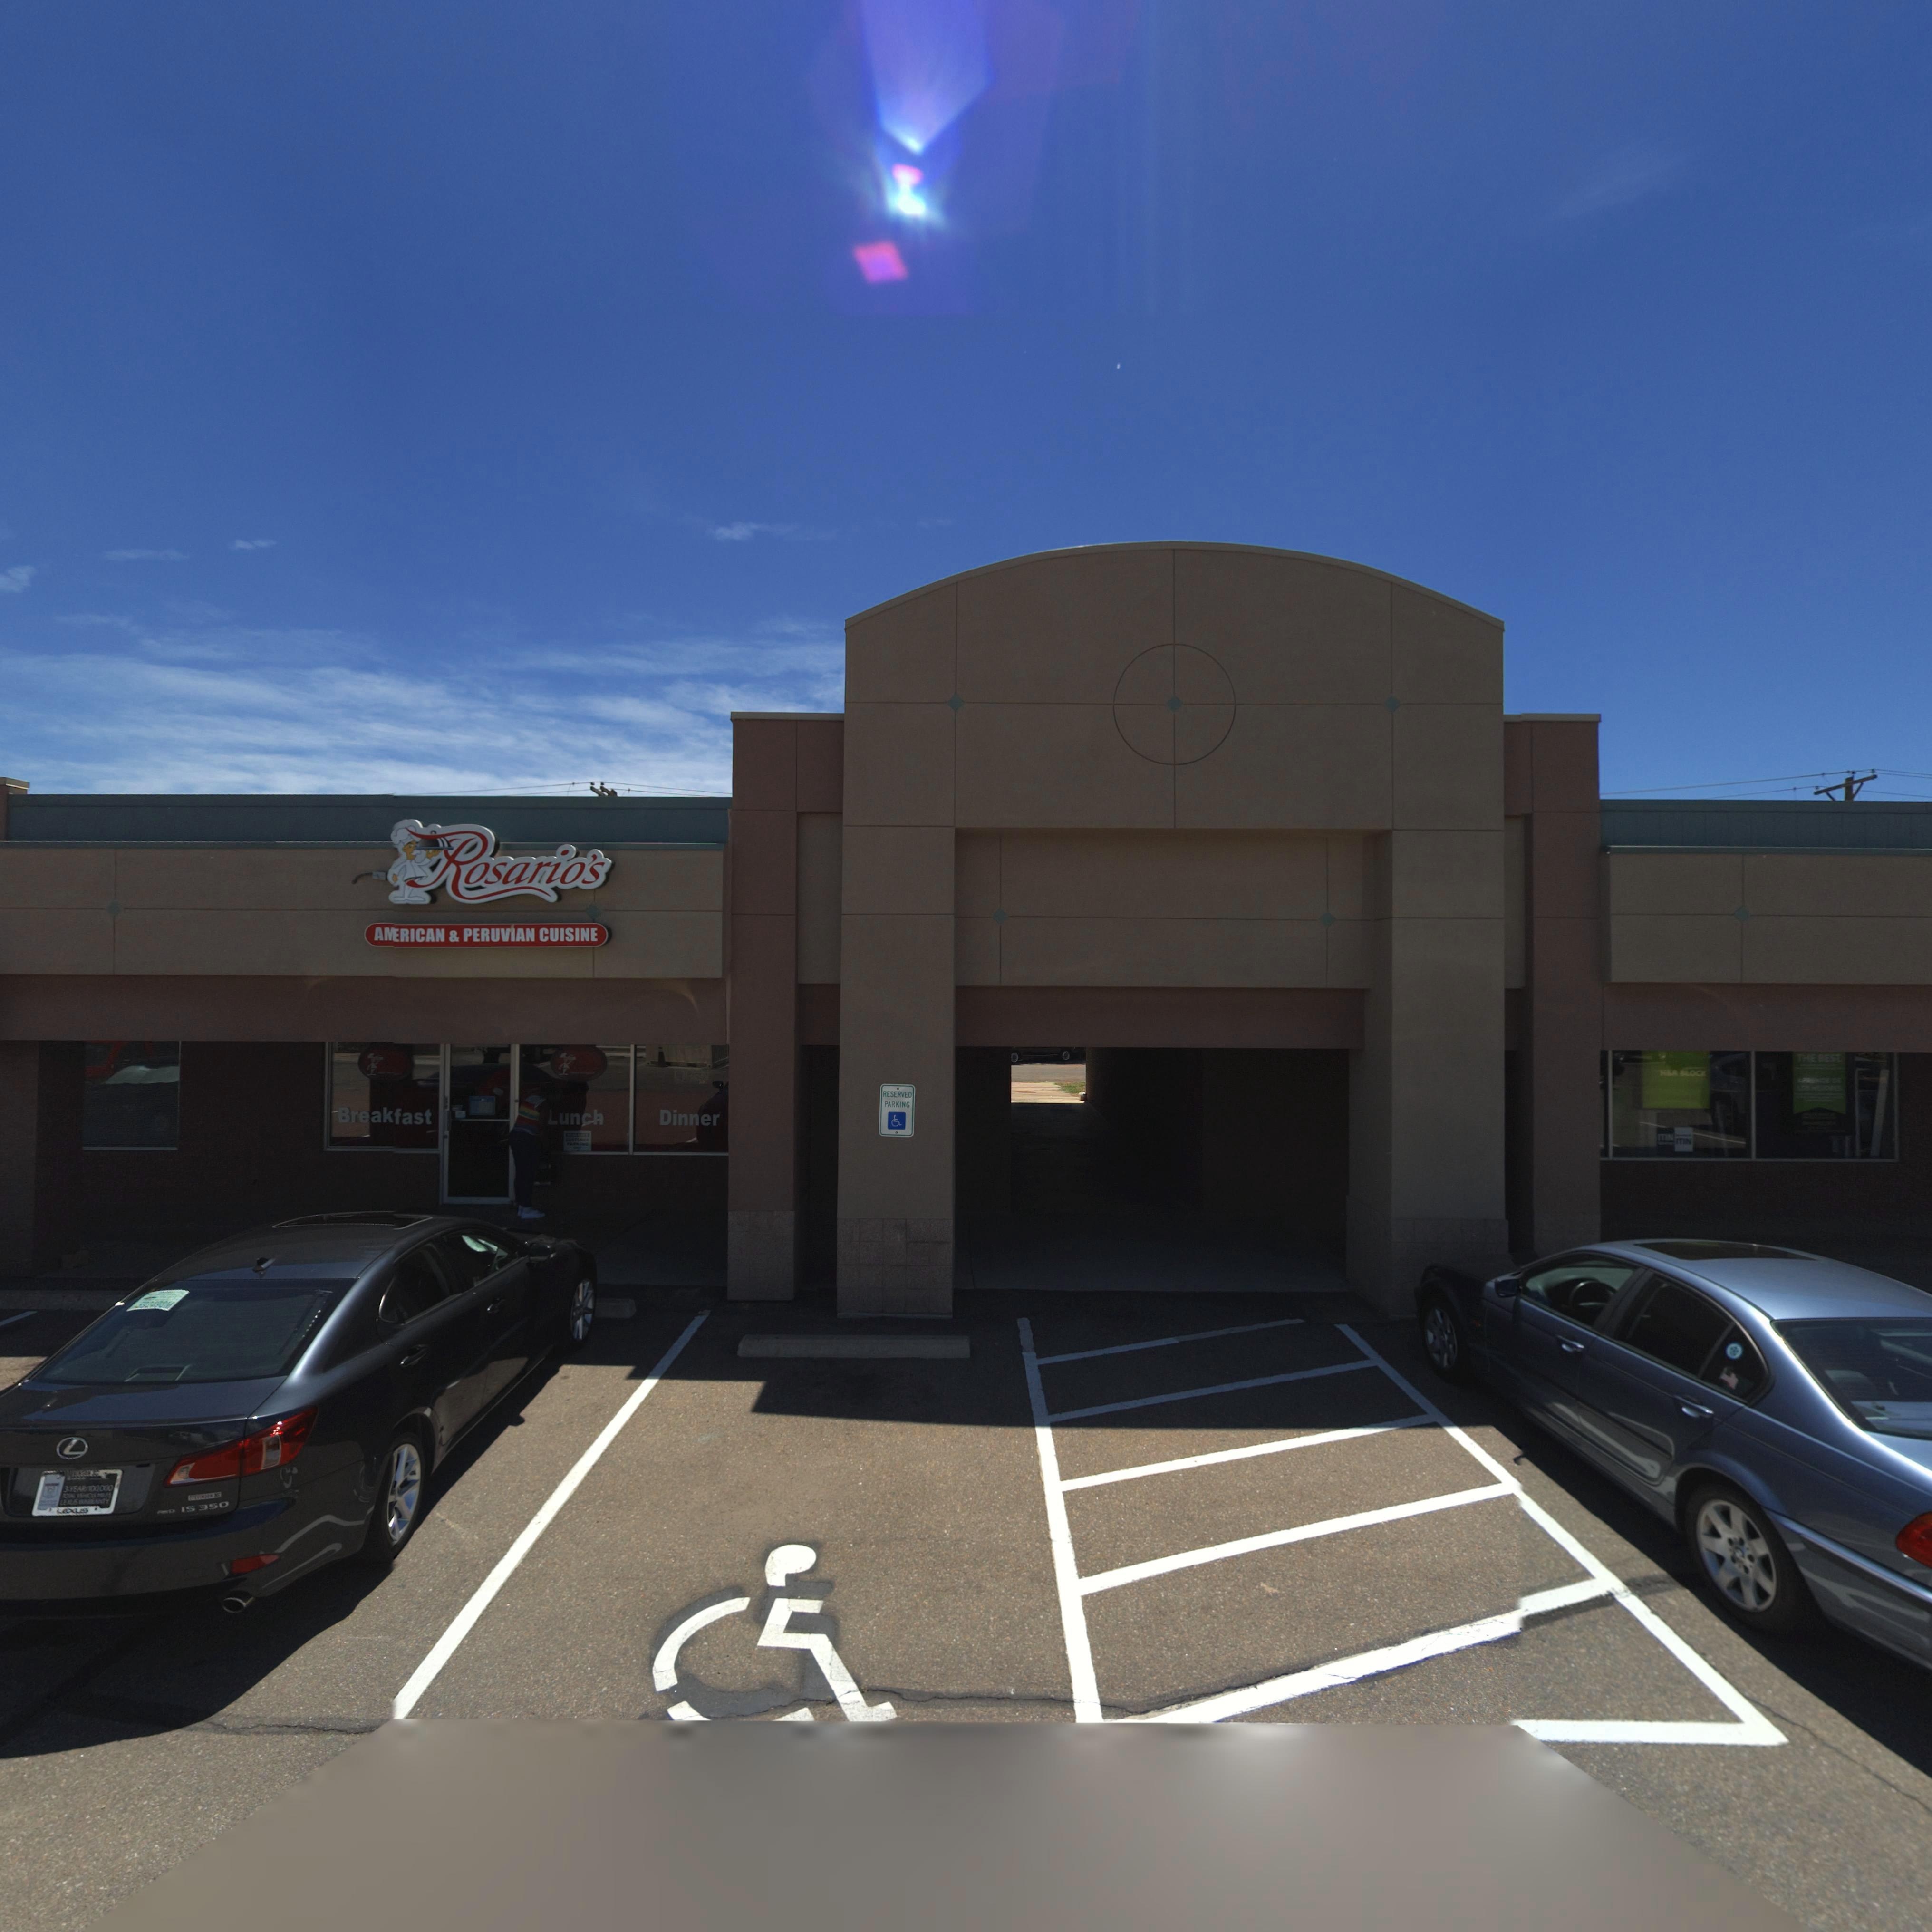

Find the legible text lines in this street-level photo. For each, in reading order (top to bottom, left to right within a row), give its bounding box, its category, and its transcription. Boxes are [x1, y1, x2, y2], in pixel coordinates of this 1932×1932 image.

[405, 826, 606, 889] BusinessName: Rosario*s
[373, 926, 598, 942] BusinessName: AMERICAN * PERUVIAN CUISINE
[1659, 1069, 1706, 1077] BusinessName: H*R BLOCK